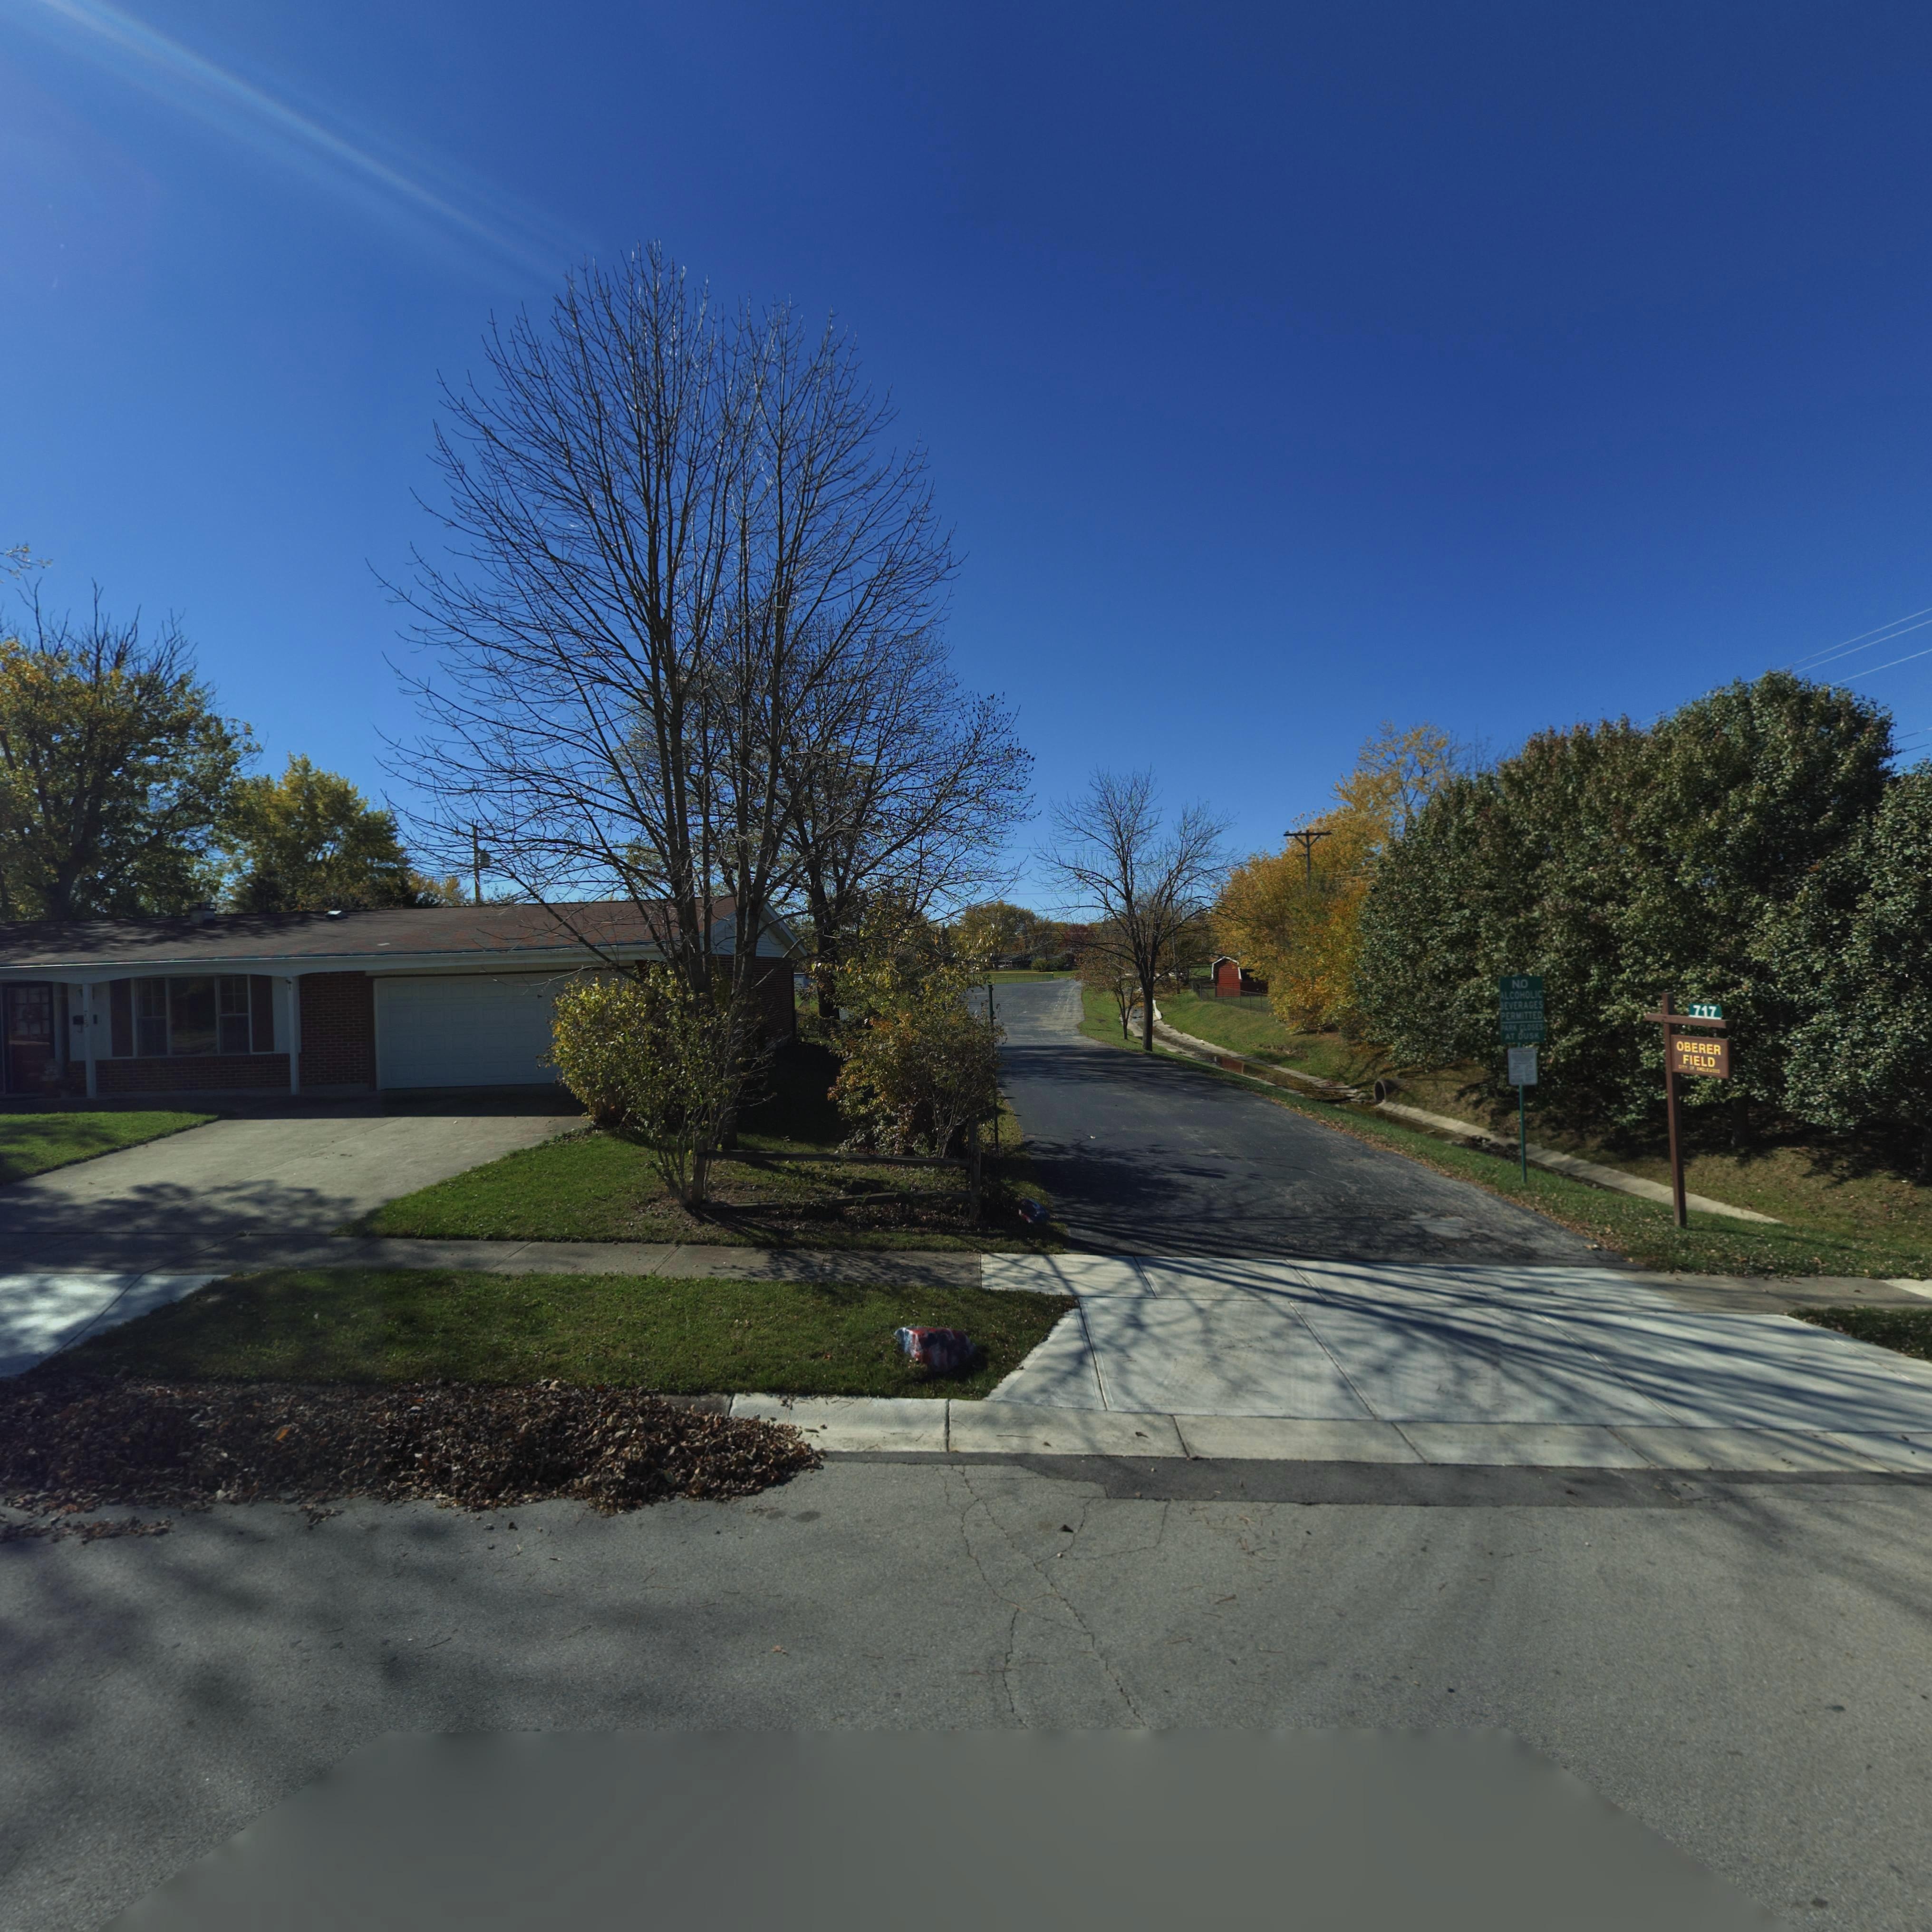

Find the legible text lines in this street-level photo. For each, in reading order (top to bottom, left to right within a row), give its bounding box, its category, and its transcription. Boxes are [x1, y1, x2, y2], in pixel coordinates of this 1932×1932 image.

[84, 1010, 88, 1028] StreetNumber: 7*9
[1692, 1004, 1719, 1018] StreetNumber: 717